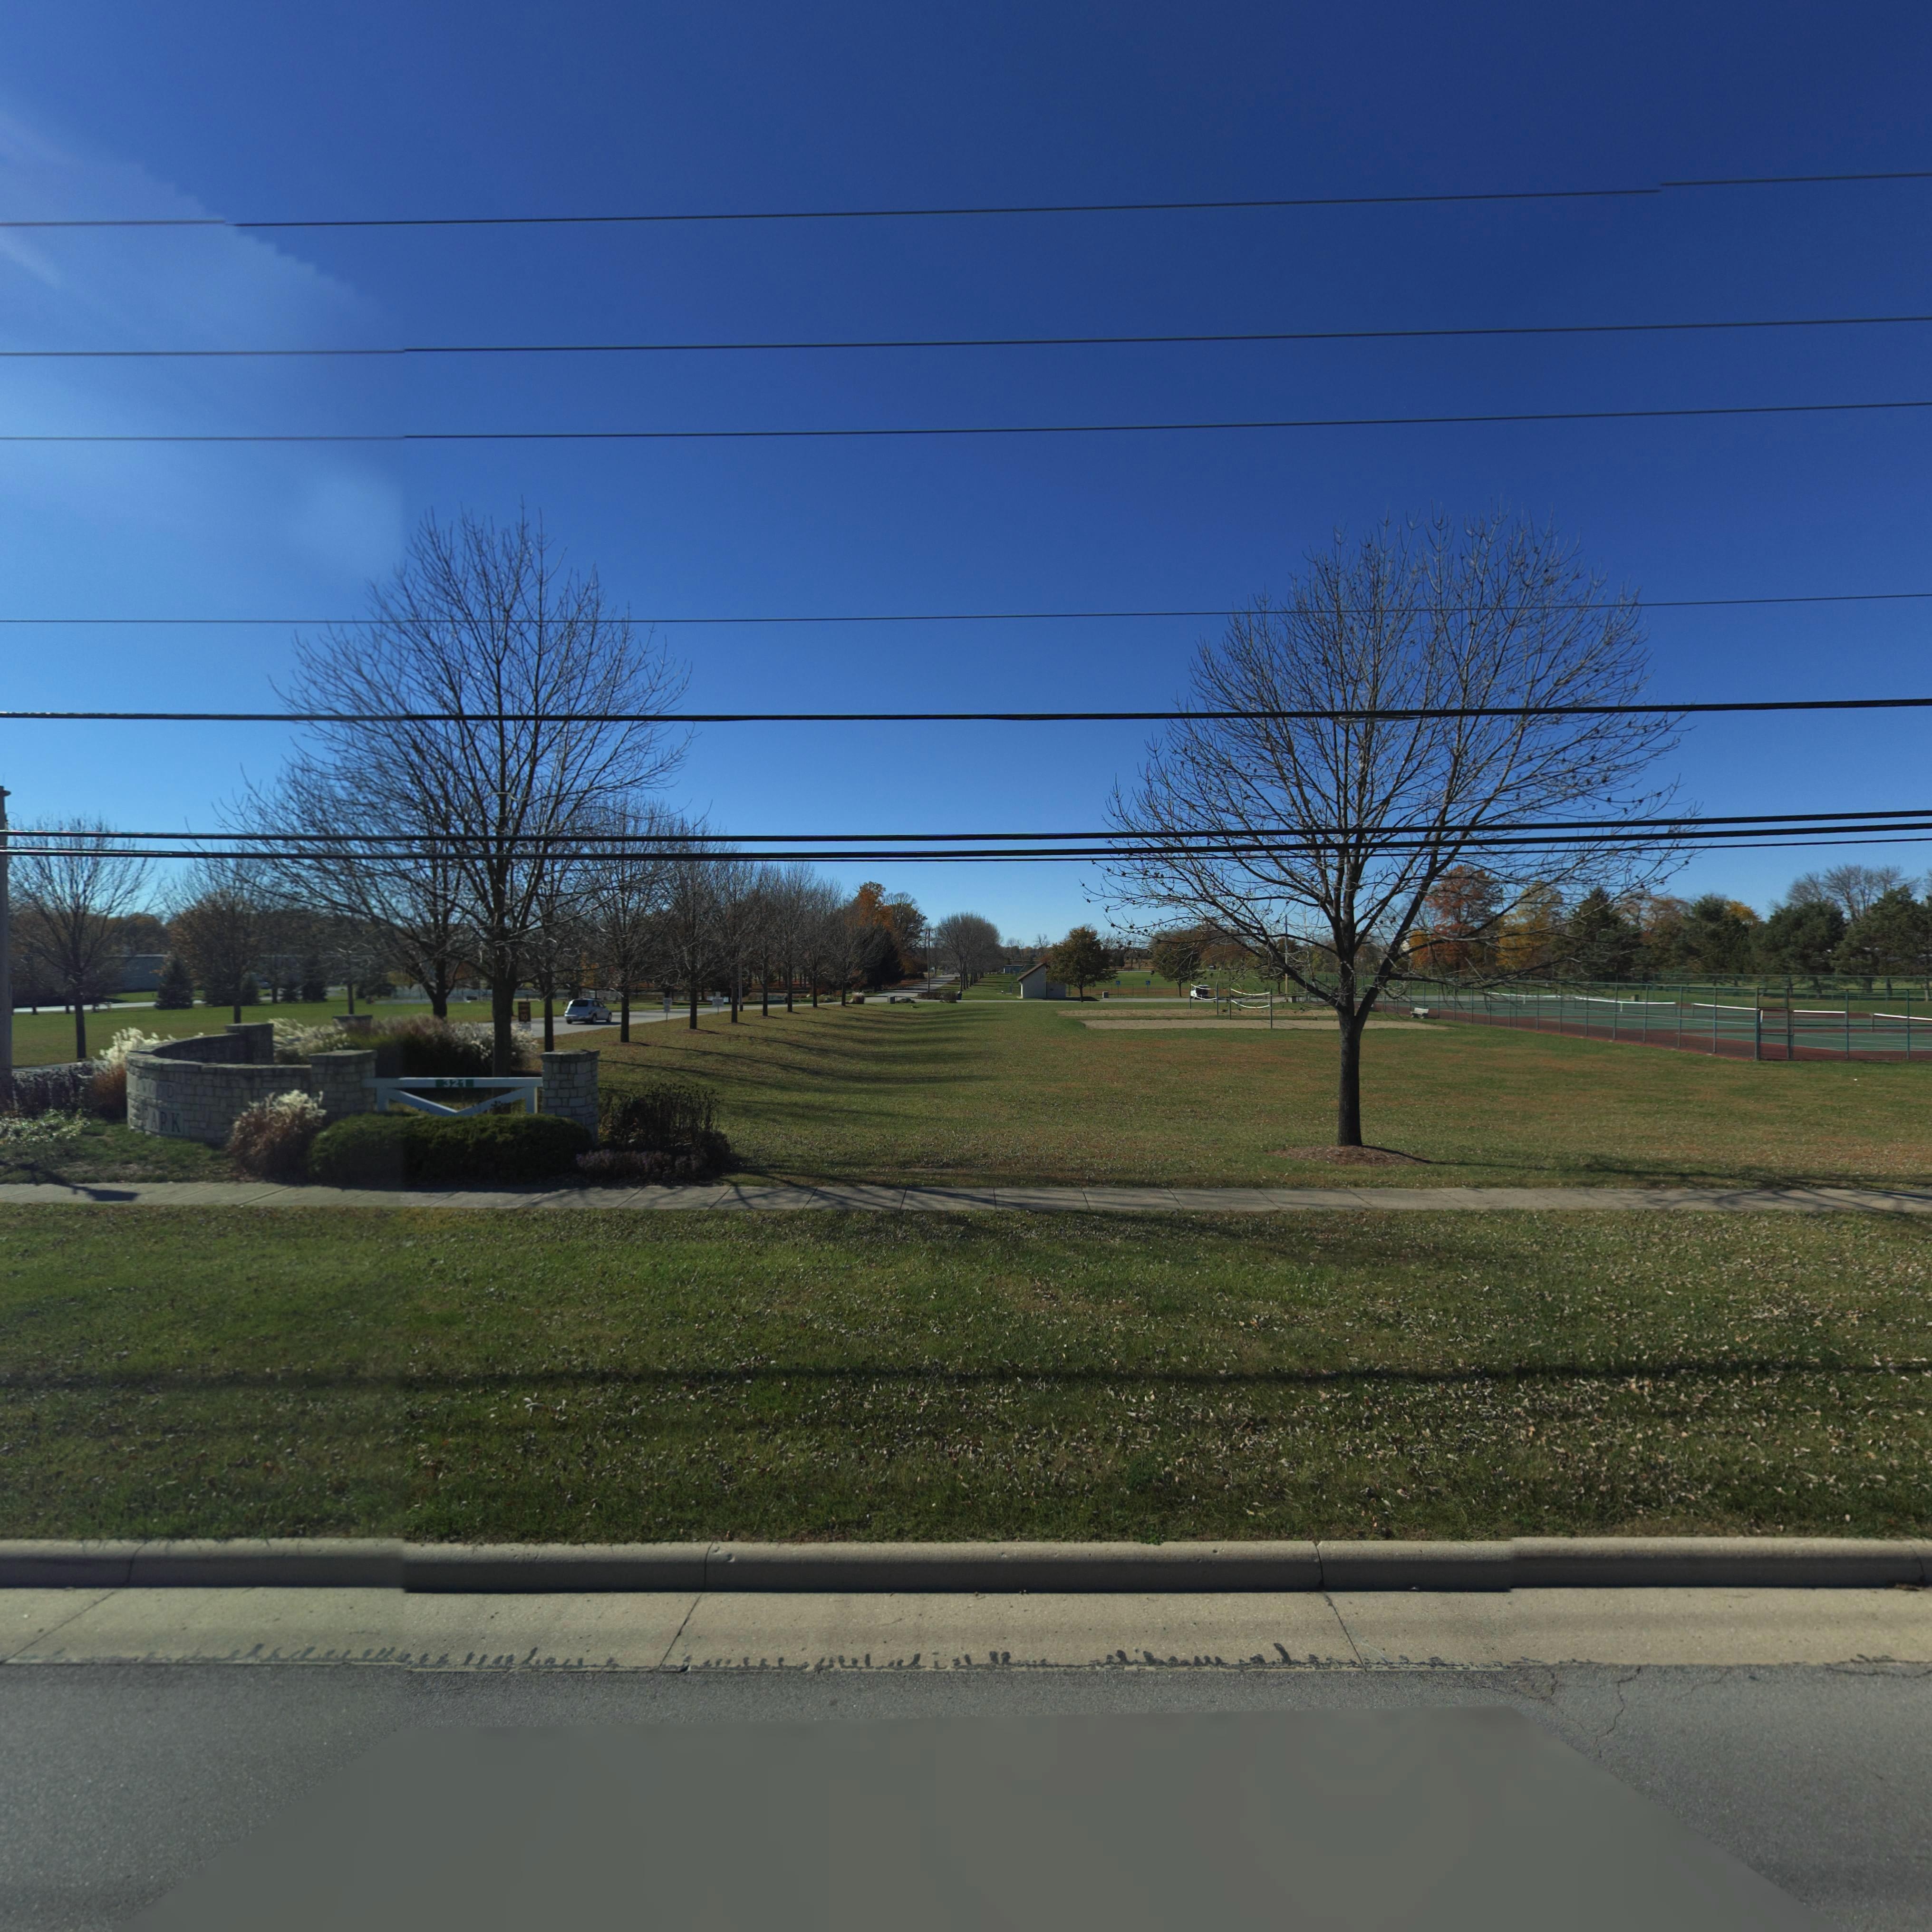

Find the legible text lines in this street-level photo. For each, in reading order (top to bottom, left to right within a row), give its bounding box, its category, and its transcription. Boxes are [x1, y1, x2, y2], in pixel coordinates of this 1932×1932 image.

[147, 1080, 175, 1101] None: OOD
[442, 1078, 467, 1088] StreetNumber: 321
[142, 1105, 183, 1135] None: PARK